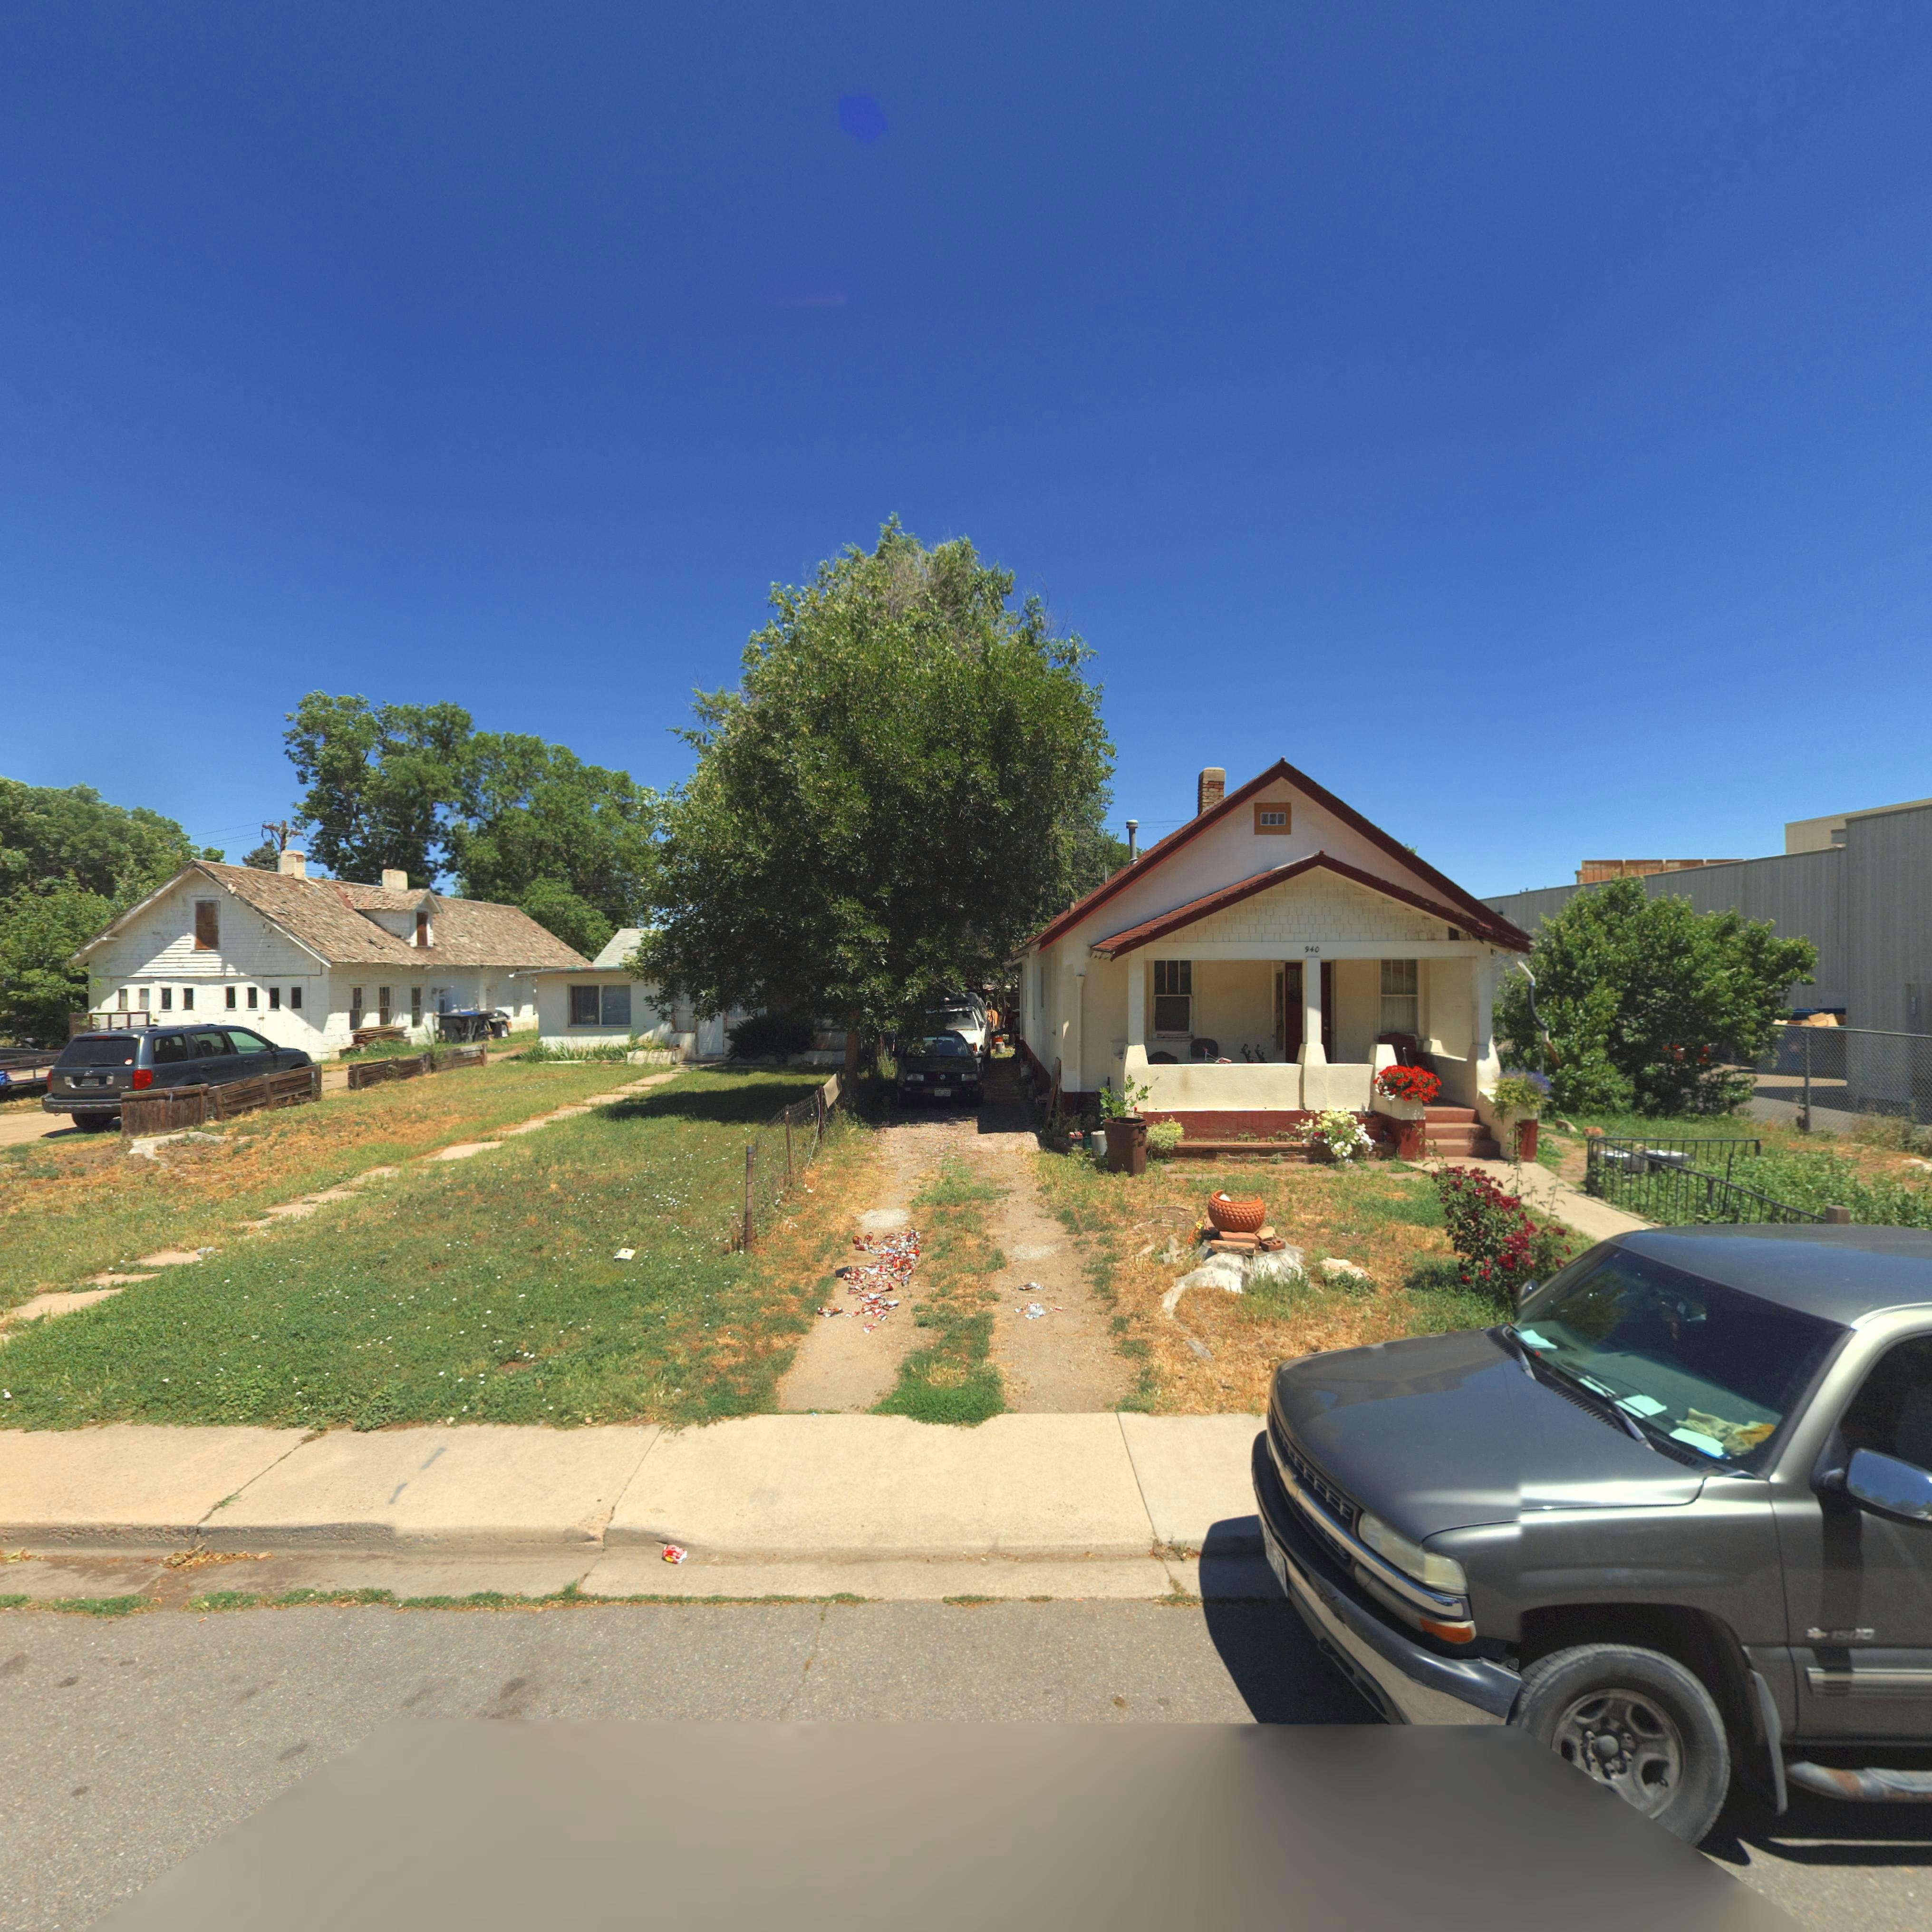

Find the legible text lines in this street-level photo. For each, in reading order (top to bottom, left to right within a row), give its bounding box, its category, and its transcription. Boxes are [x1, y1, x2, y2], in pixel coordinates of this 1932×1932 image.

[1304, 946, 1319, 953] StreetNumber: 940